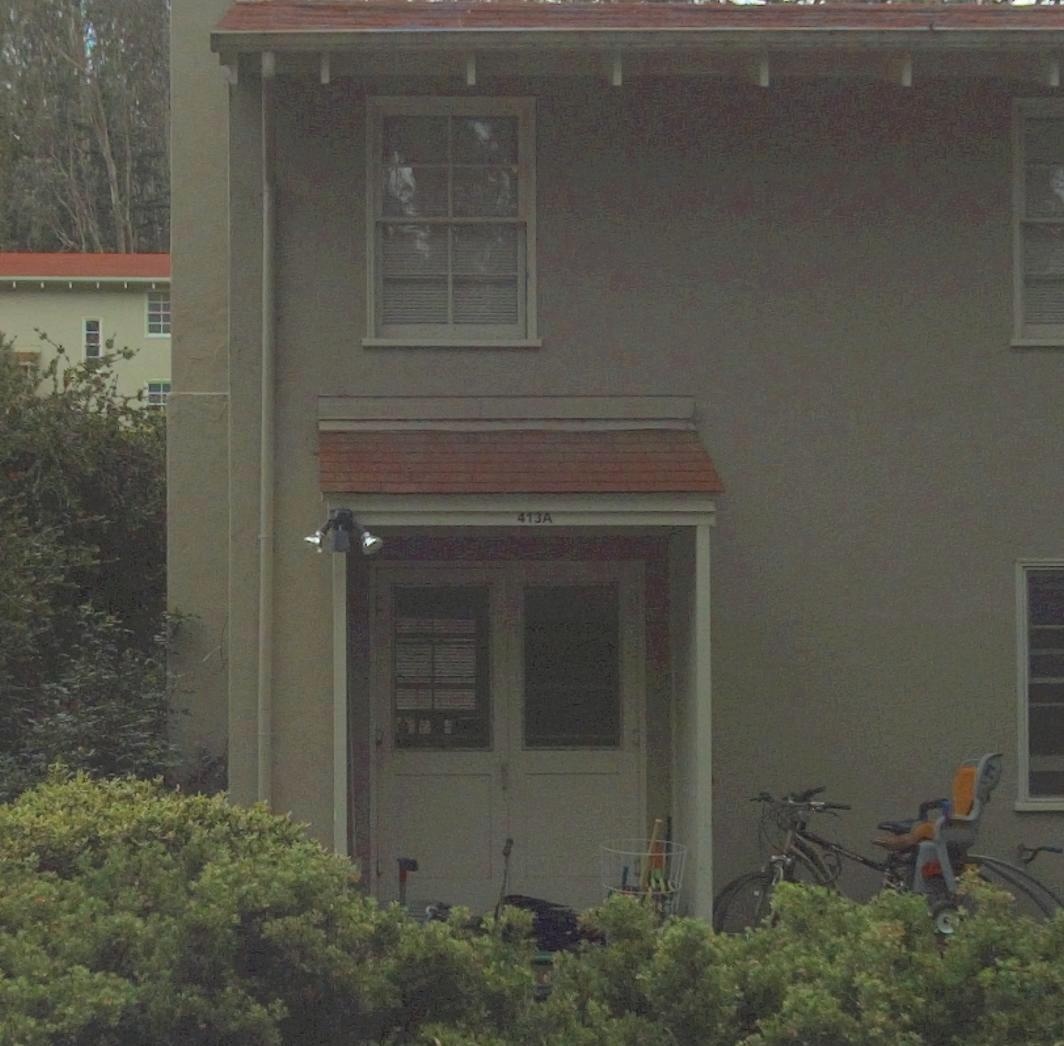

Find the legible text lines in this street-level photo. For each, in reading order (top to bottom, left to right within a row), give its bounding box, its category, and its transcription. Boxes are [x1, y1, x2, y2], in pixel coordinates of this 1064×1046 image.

[515, 510, 554, 524] StreetNumber: 413A